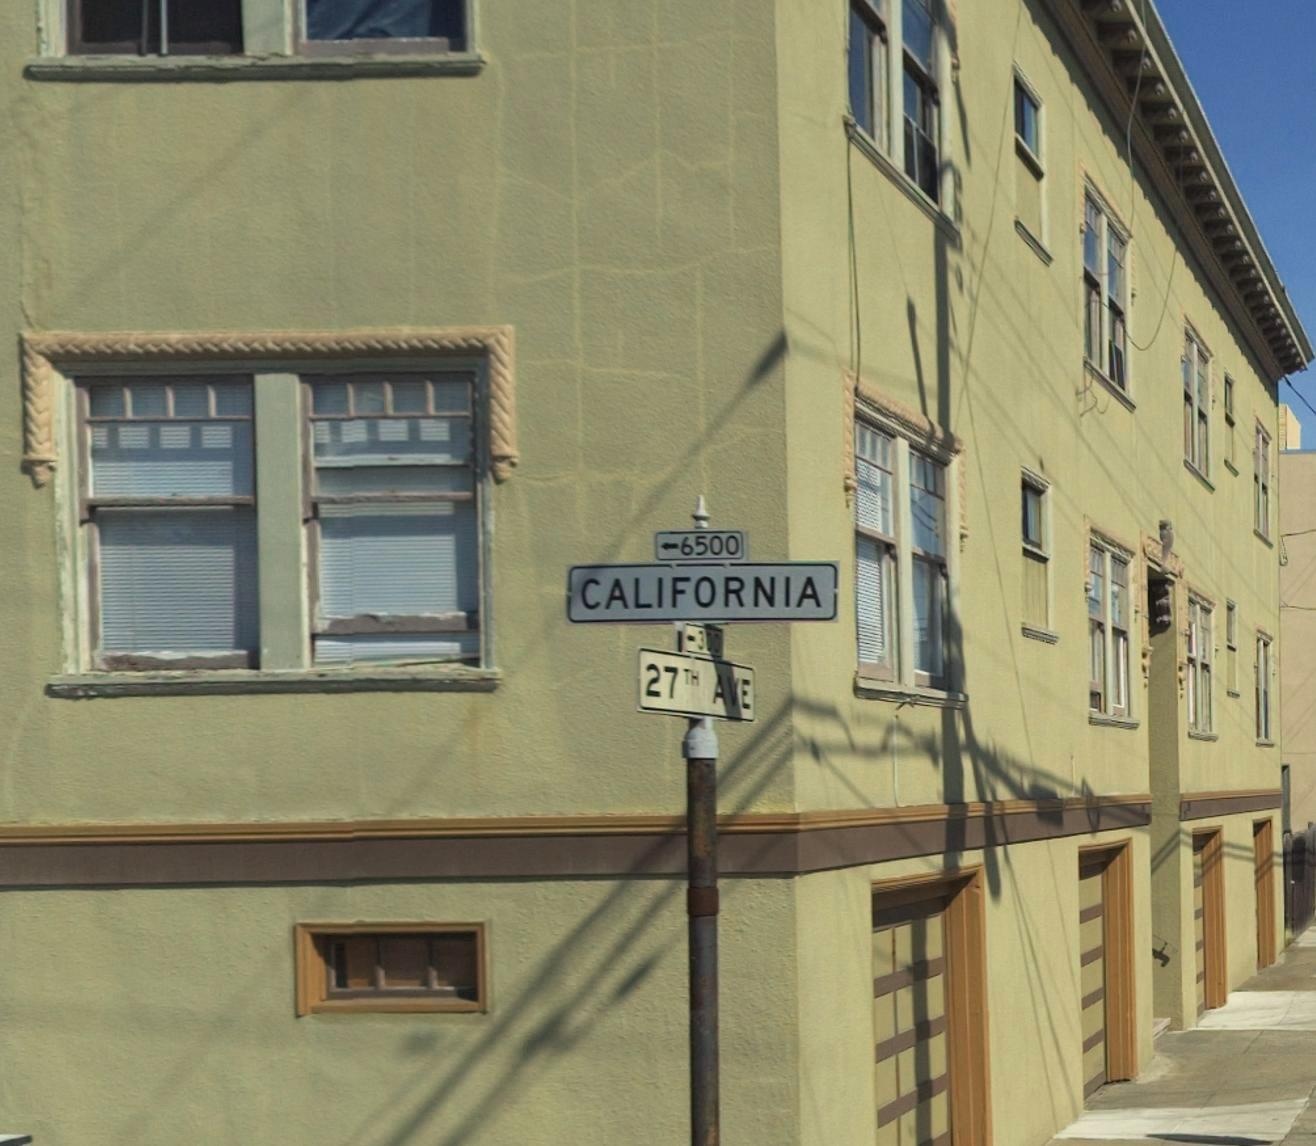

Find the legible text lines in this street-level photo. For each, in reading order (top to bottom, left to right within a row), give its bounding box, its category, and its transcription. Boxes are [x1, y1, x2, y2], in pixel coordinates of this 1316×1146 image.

[656, 532, 740, 559] StreetNumberRange: <-6500
[579, 572, 823, 613] StreetName: CALIFORNIA
[681, 623, 723, 659] StreetNumberRange: <-300
[644, 660, 753, 715] StreetName: 27TH AVE